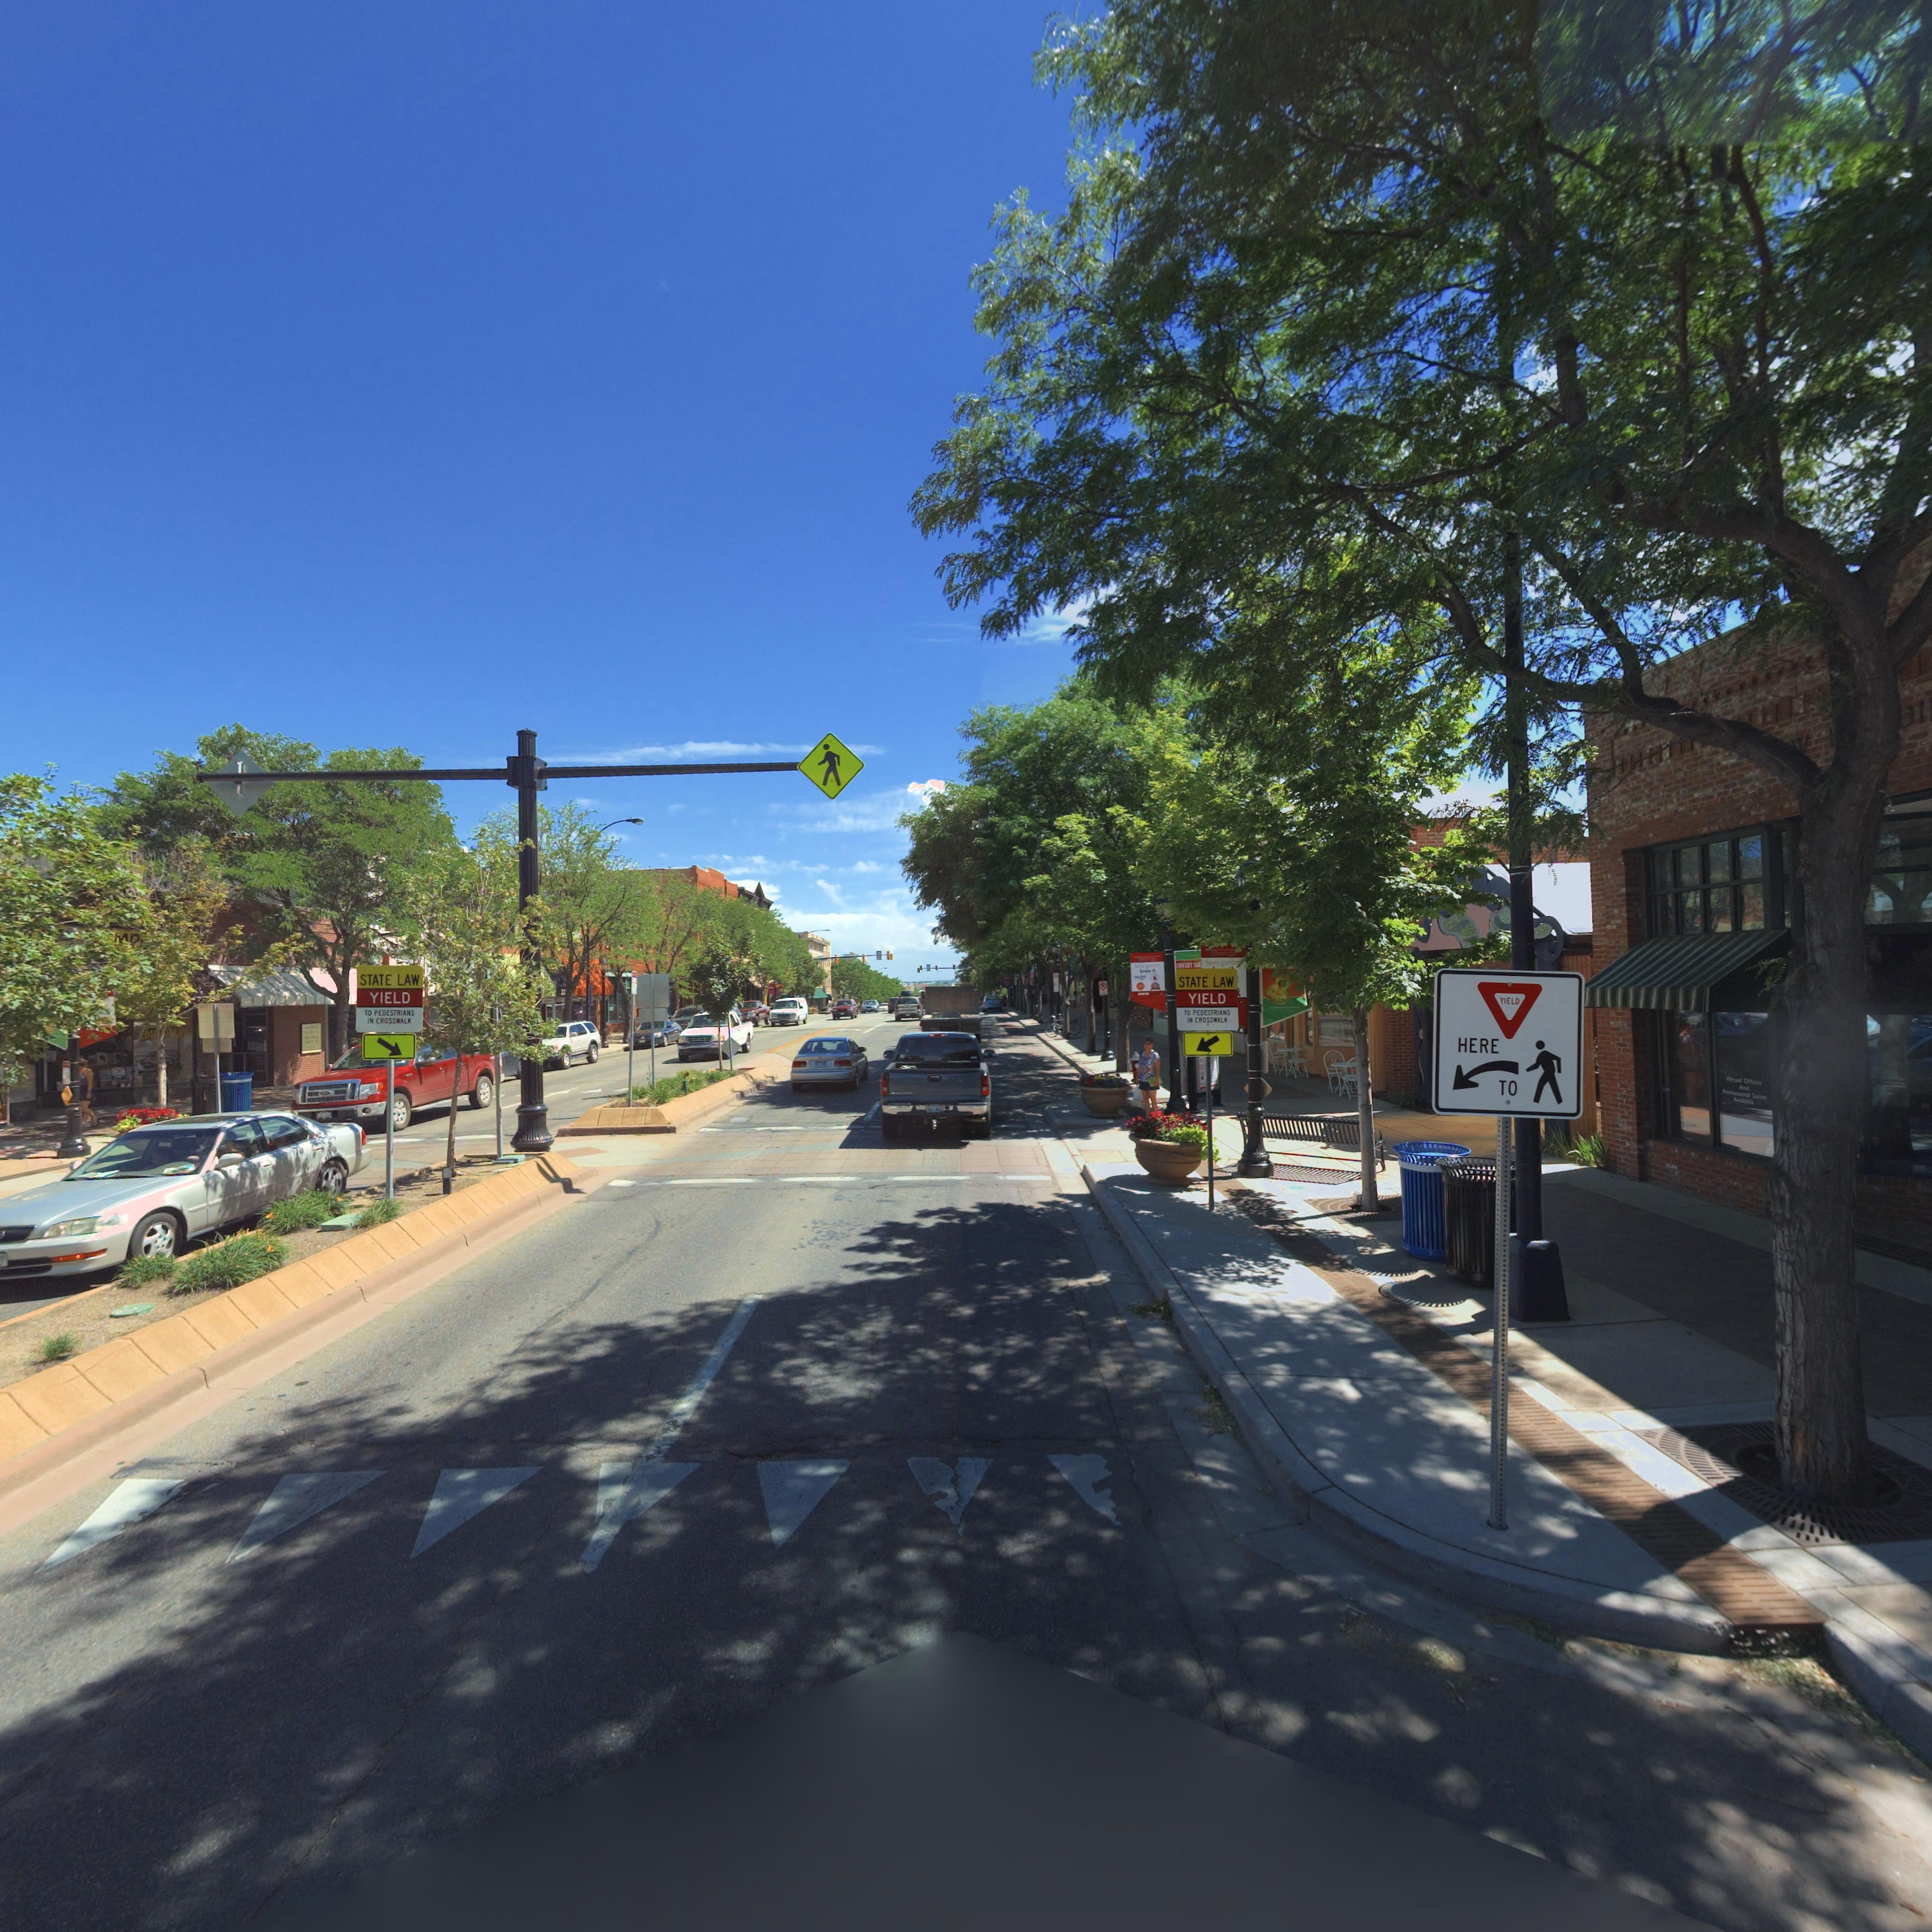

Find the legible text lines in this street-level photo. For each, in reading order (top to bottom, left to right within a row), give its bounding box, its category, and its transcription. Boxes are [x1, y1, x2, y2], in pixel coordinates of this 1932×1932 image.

[1178, 976, 1234, 988] BusinessName: STATE UAW
[137, 1027, 188, 1040] BusinessName: EM**RIUM